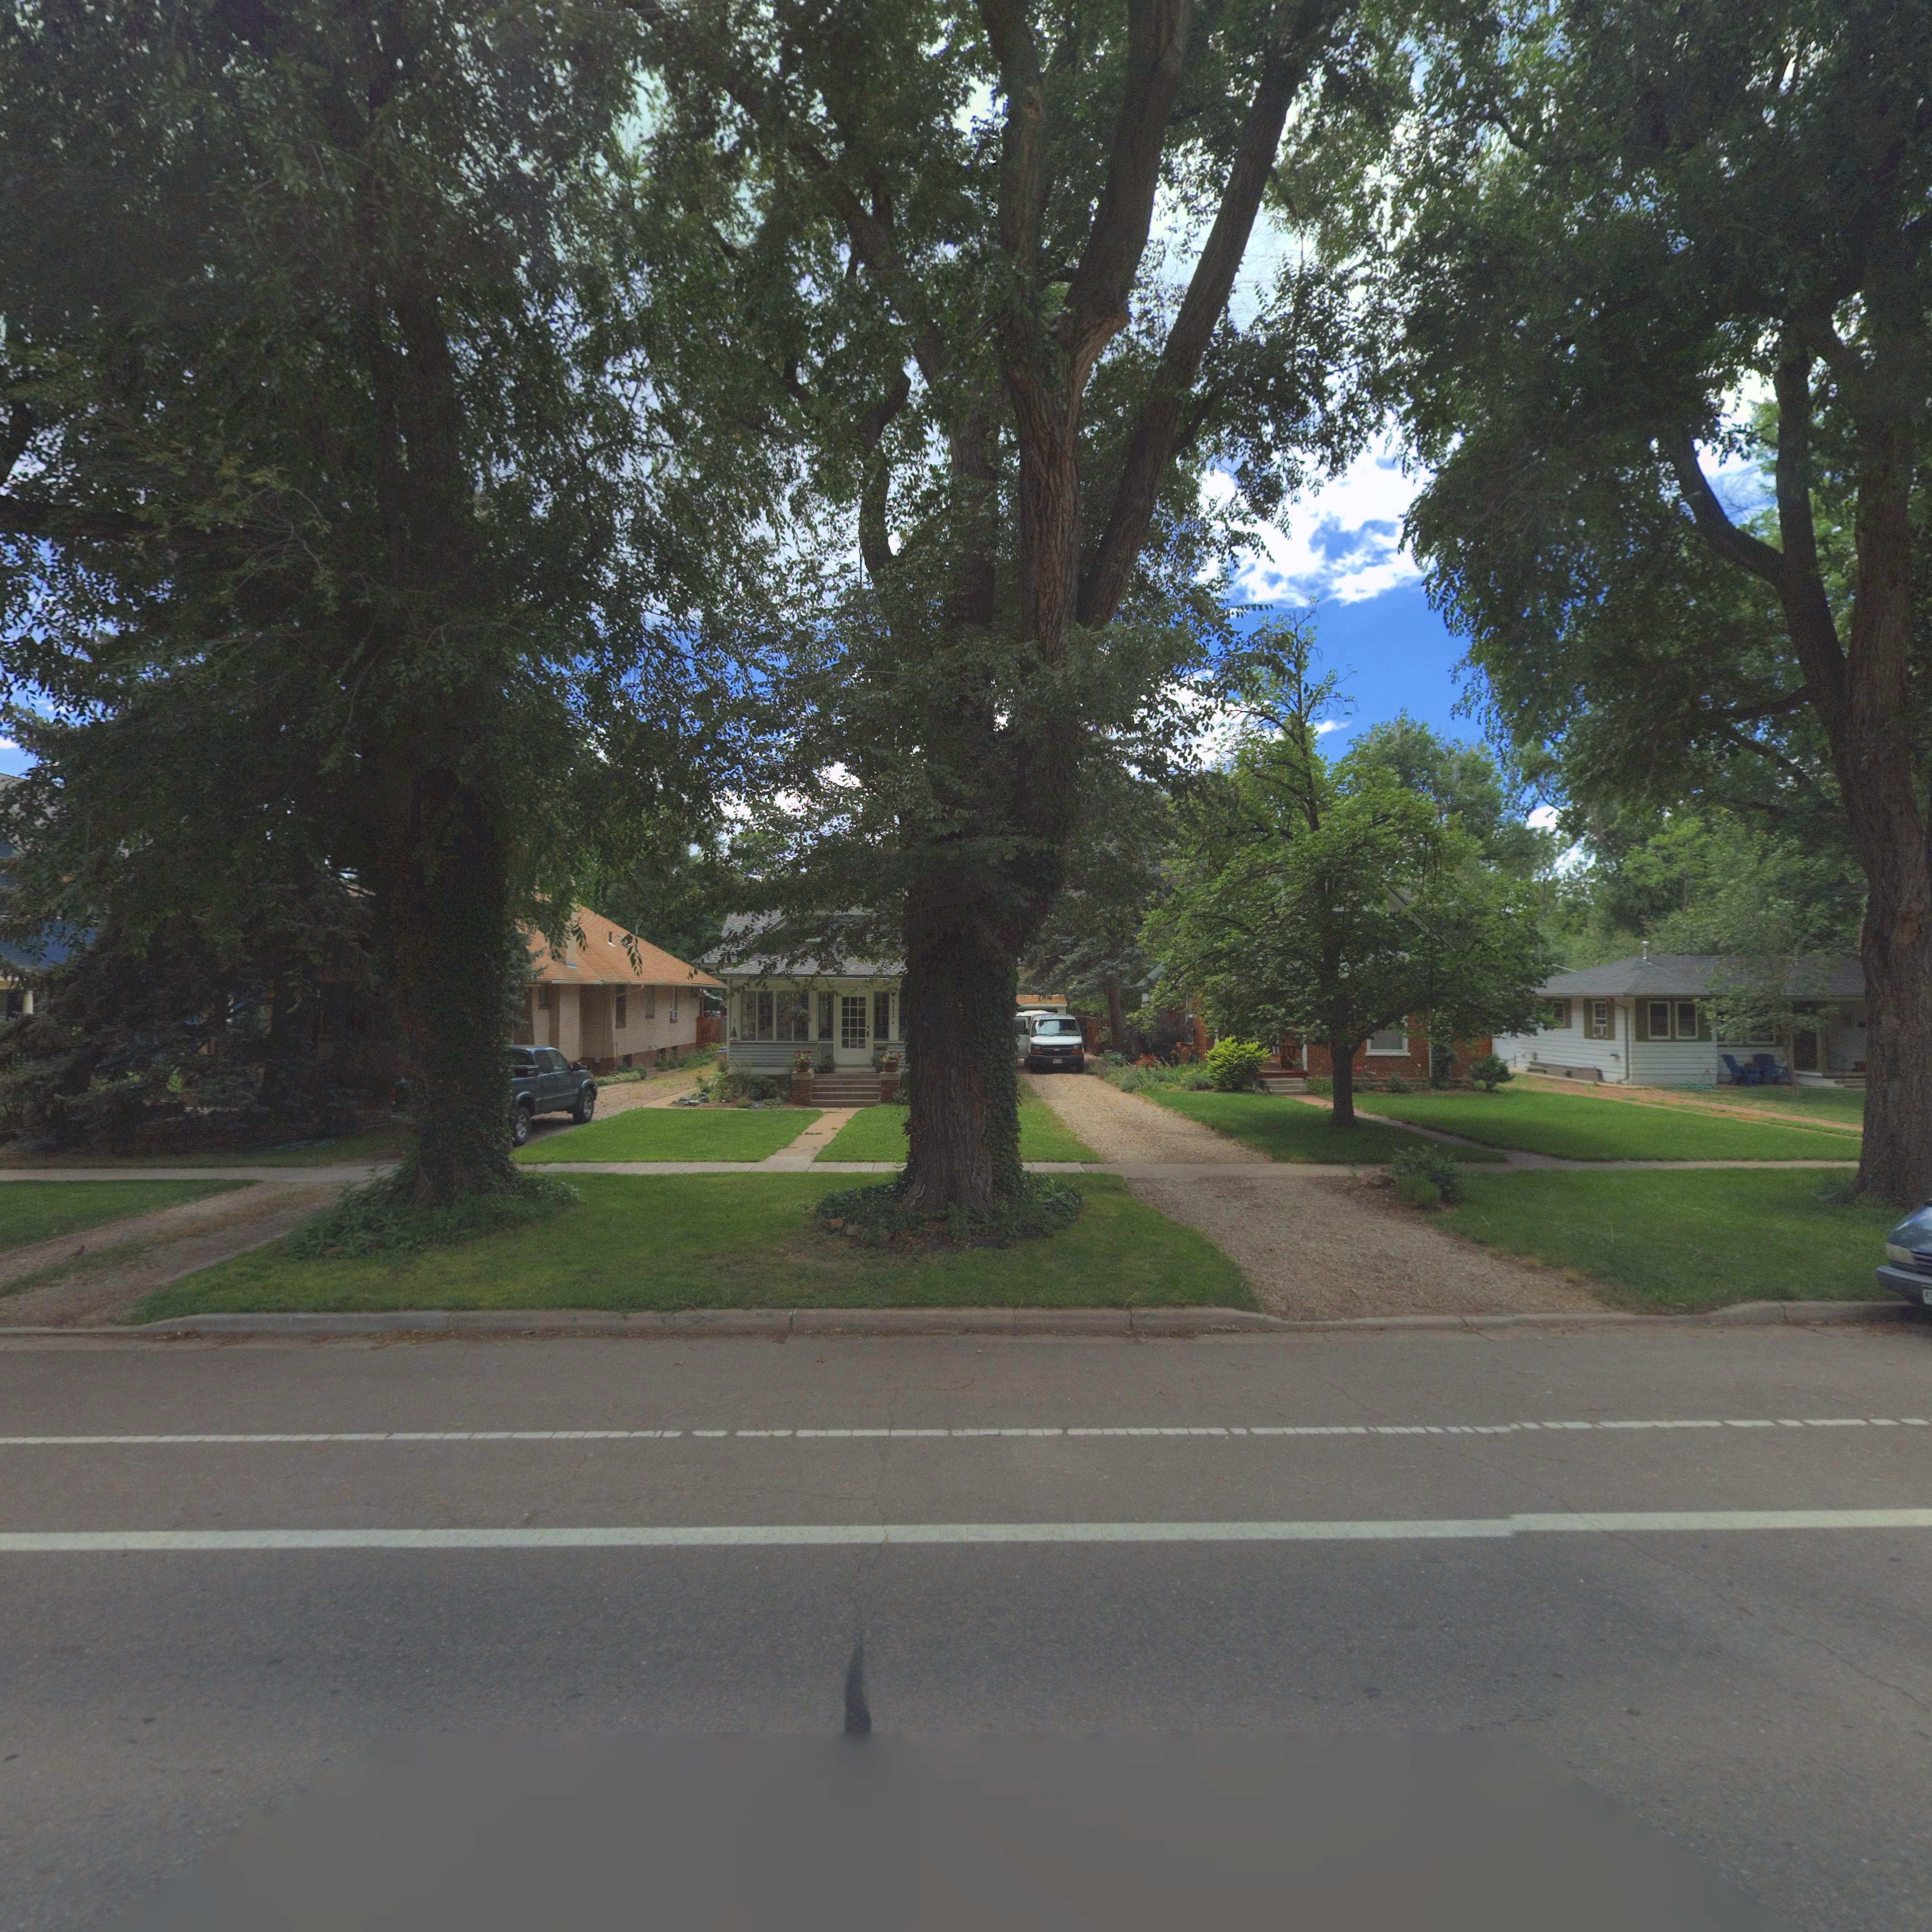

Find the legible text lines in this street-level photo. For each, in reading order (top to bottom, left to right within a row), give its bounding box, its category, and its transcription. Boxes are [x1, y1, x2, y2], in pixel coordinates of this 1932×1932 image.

[892, 999, 895, 1018] StreetNumber: 511